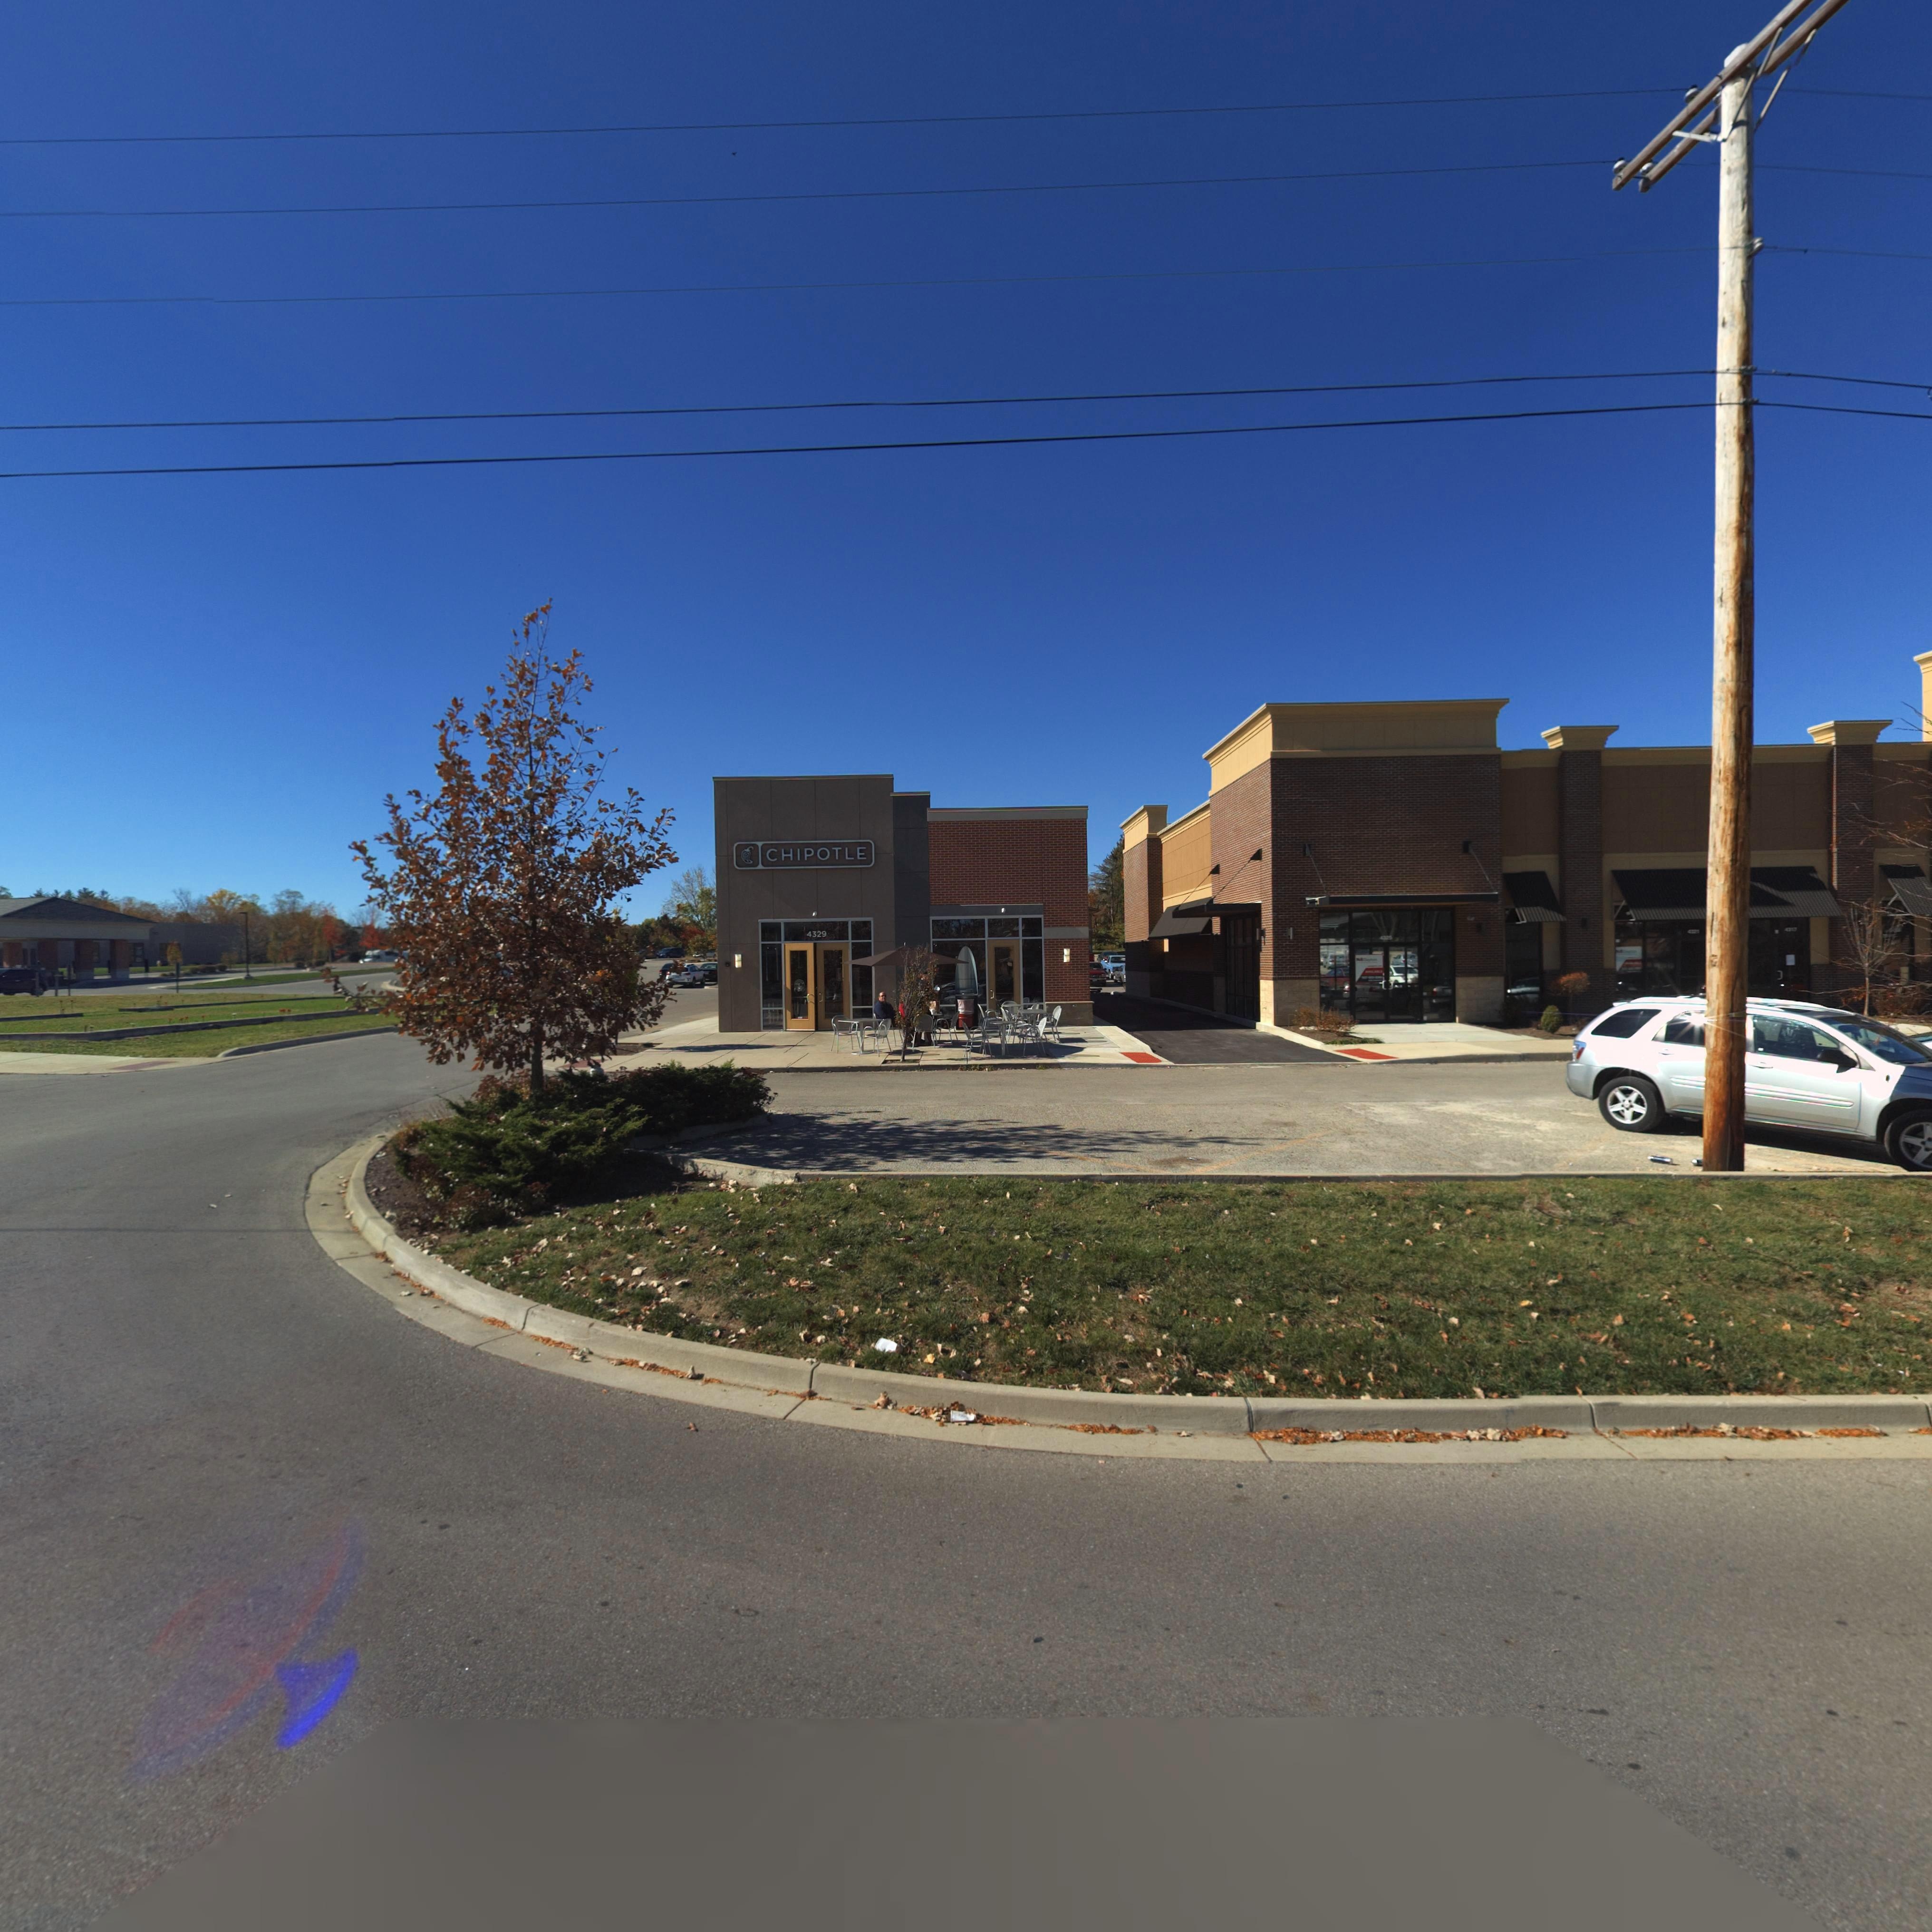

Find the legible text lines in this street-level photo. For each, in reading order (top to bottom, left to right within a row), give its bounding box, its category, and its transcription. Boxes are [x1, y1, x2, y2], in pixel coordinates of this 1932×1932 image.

[765, 846, 867, 863] BusinessName: CHIPOTLE
[805, 930, 828, 938] StreetNumber: 4329
[1686, 928, 1700, 934] StreetNumber: 4321
[1784, 927, 1797, 932] StreetNumber: 4317
[1379, 935, 1393, 940] StreetNumber: 4325